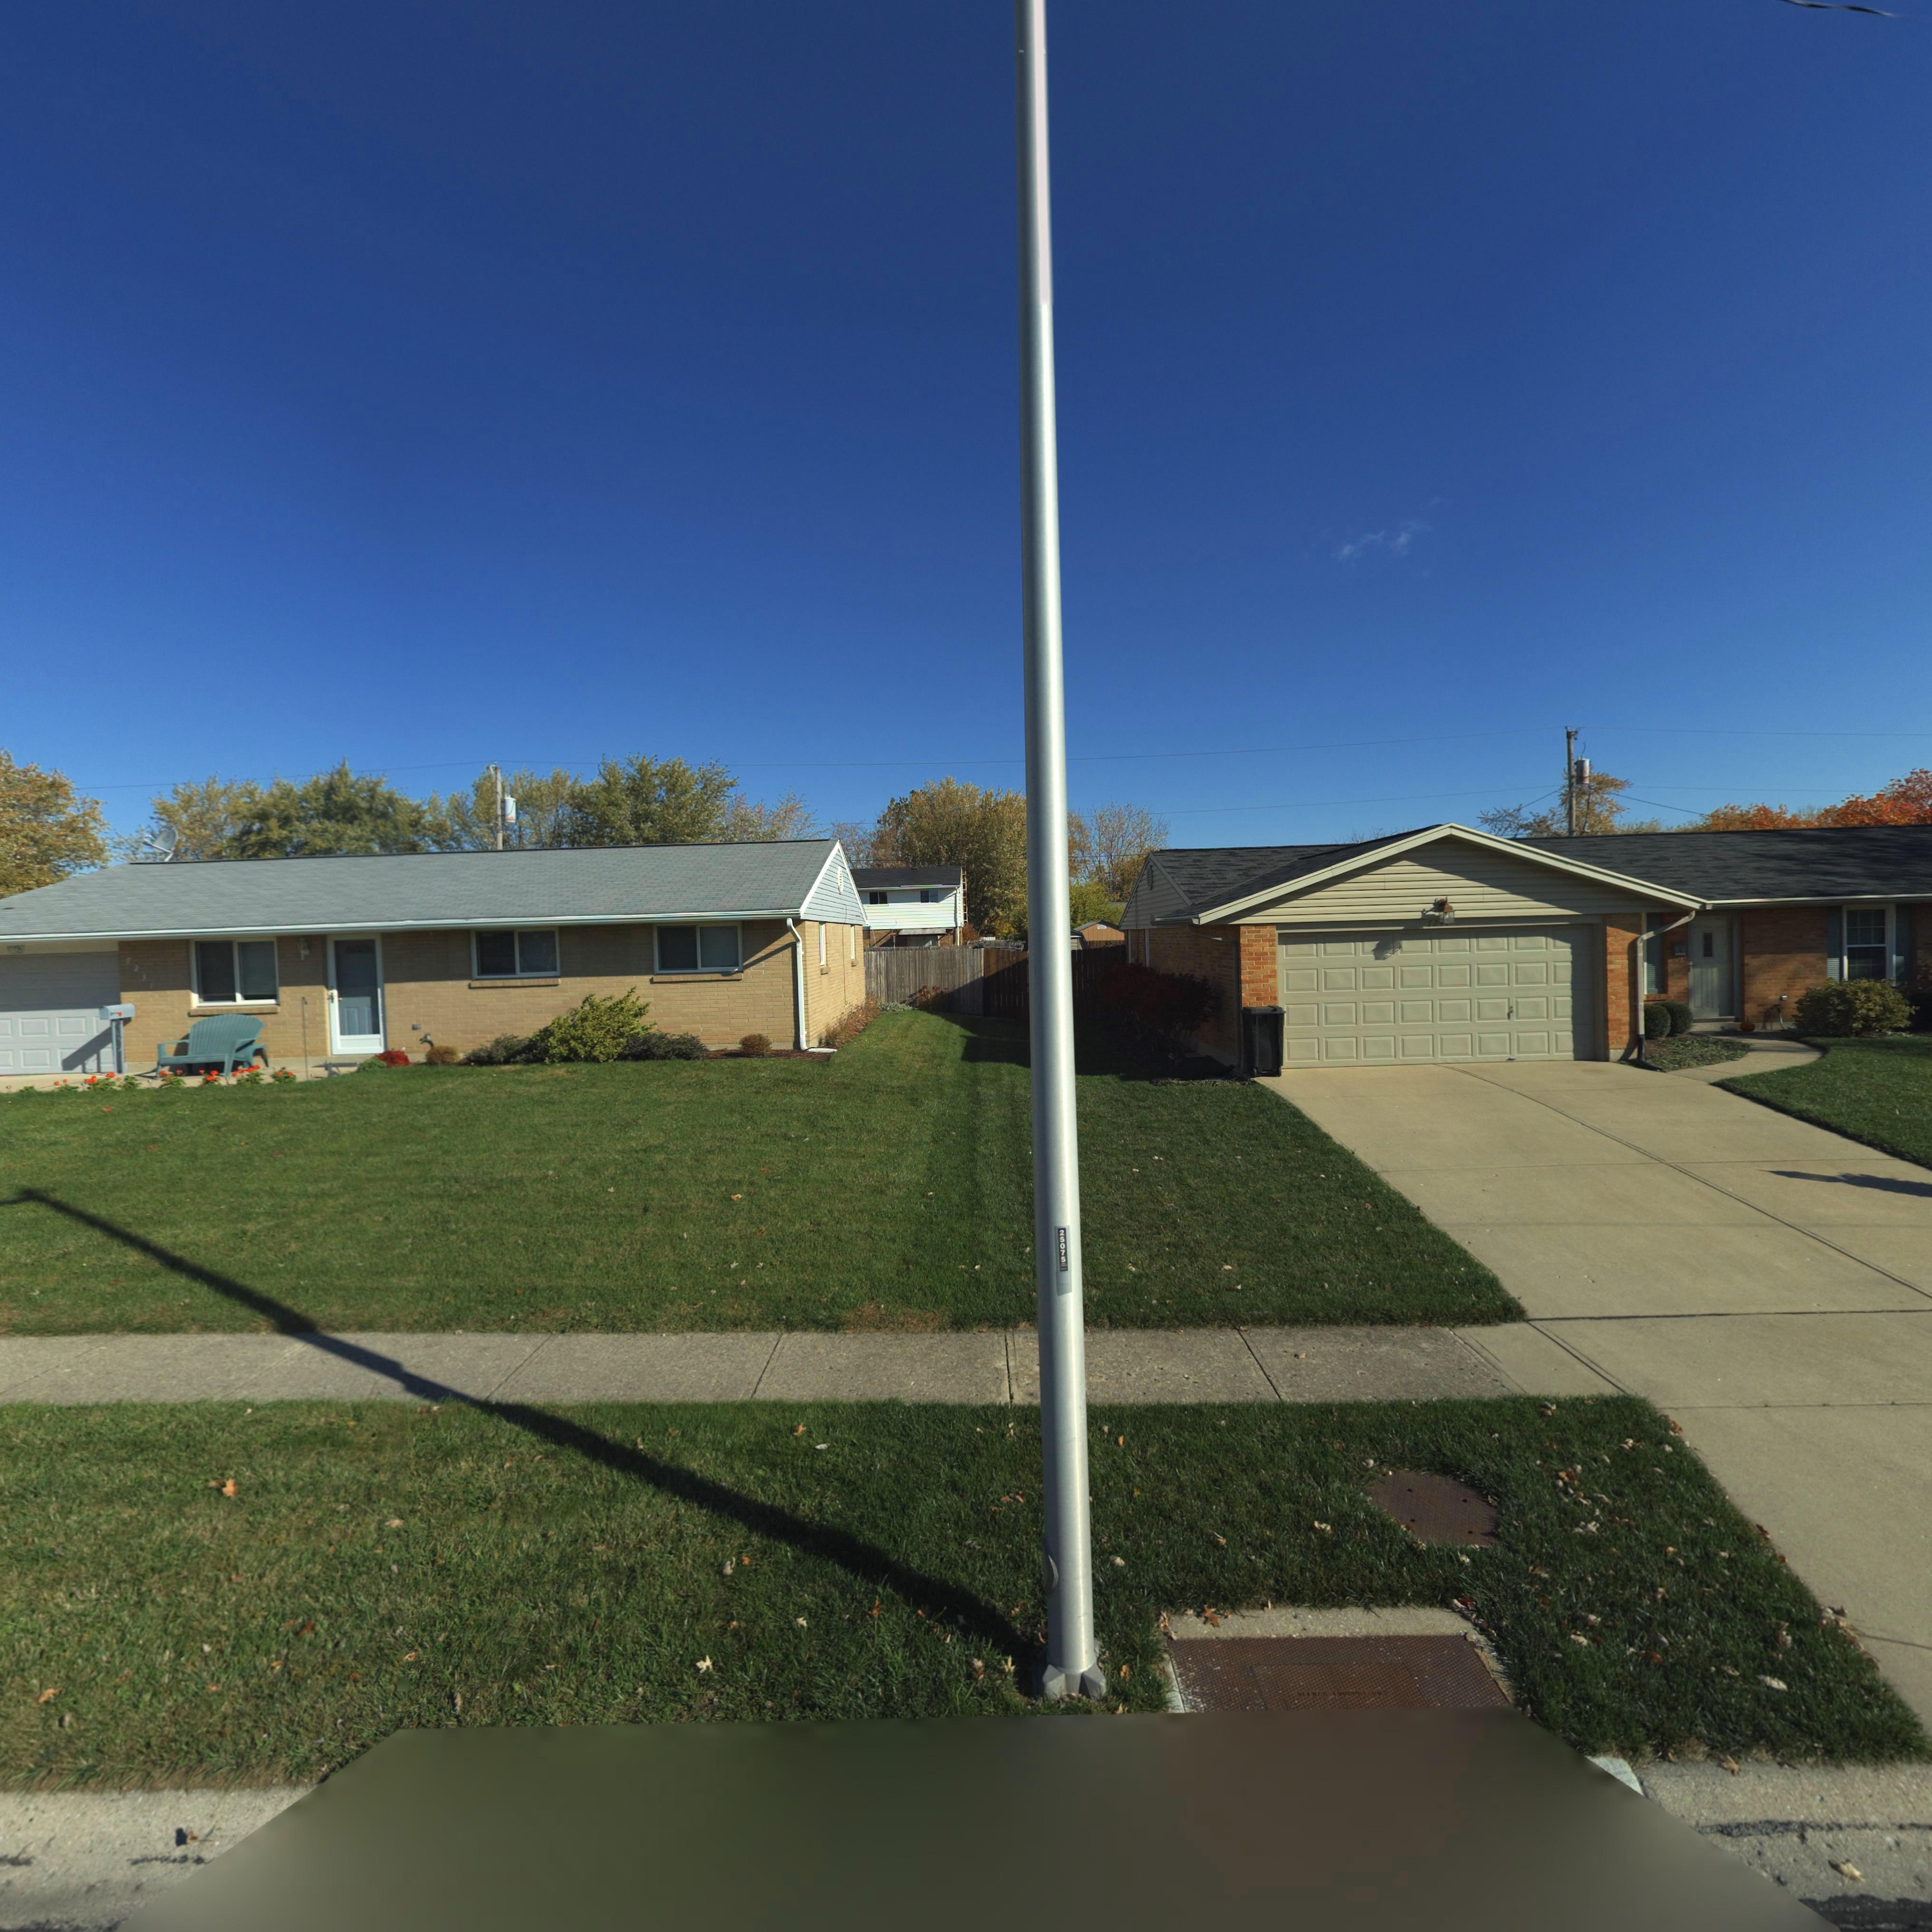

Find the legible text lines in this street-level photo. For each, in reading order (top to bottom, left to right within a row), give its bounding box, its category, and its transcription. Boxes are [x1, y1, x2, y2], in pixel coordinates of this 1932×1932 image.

[1427, 919, 1439, 927] StreetNumber: 72
[124, 956, 155, 991] StreetNumber: *231